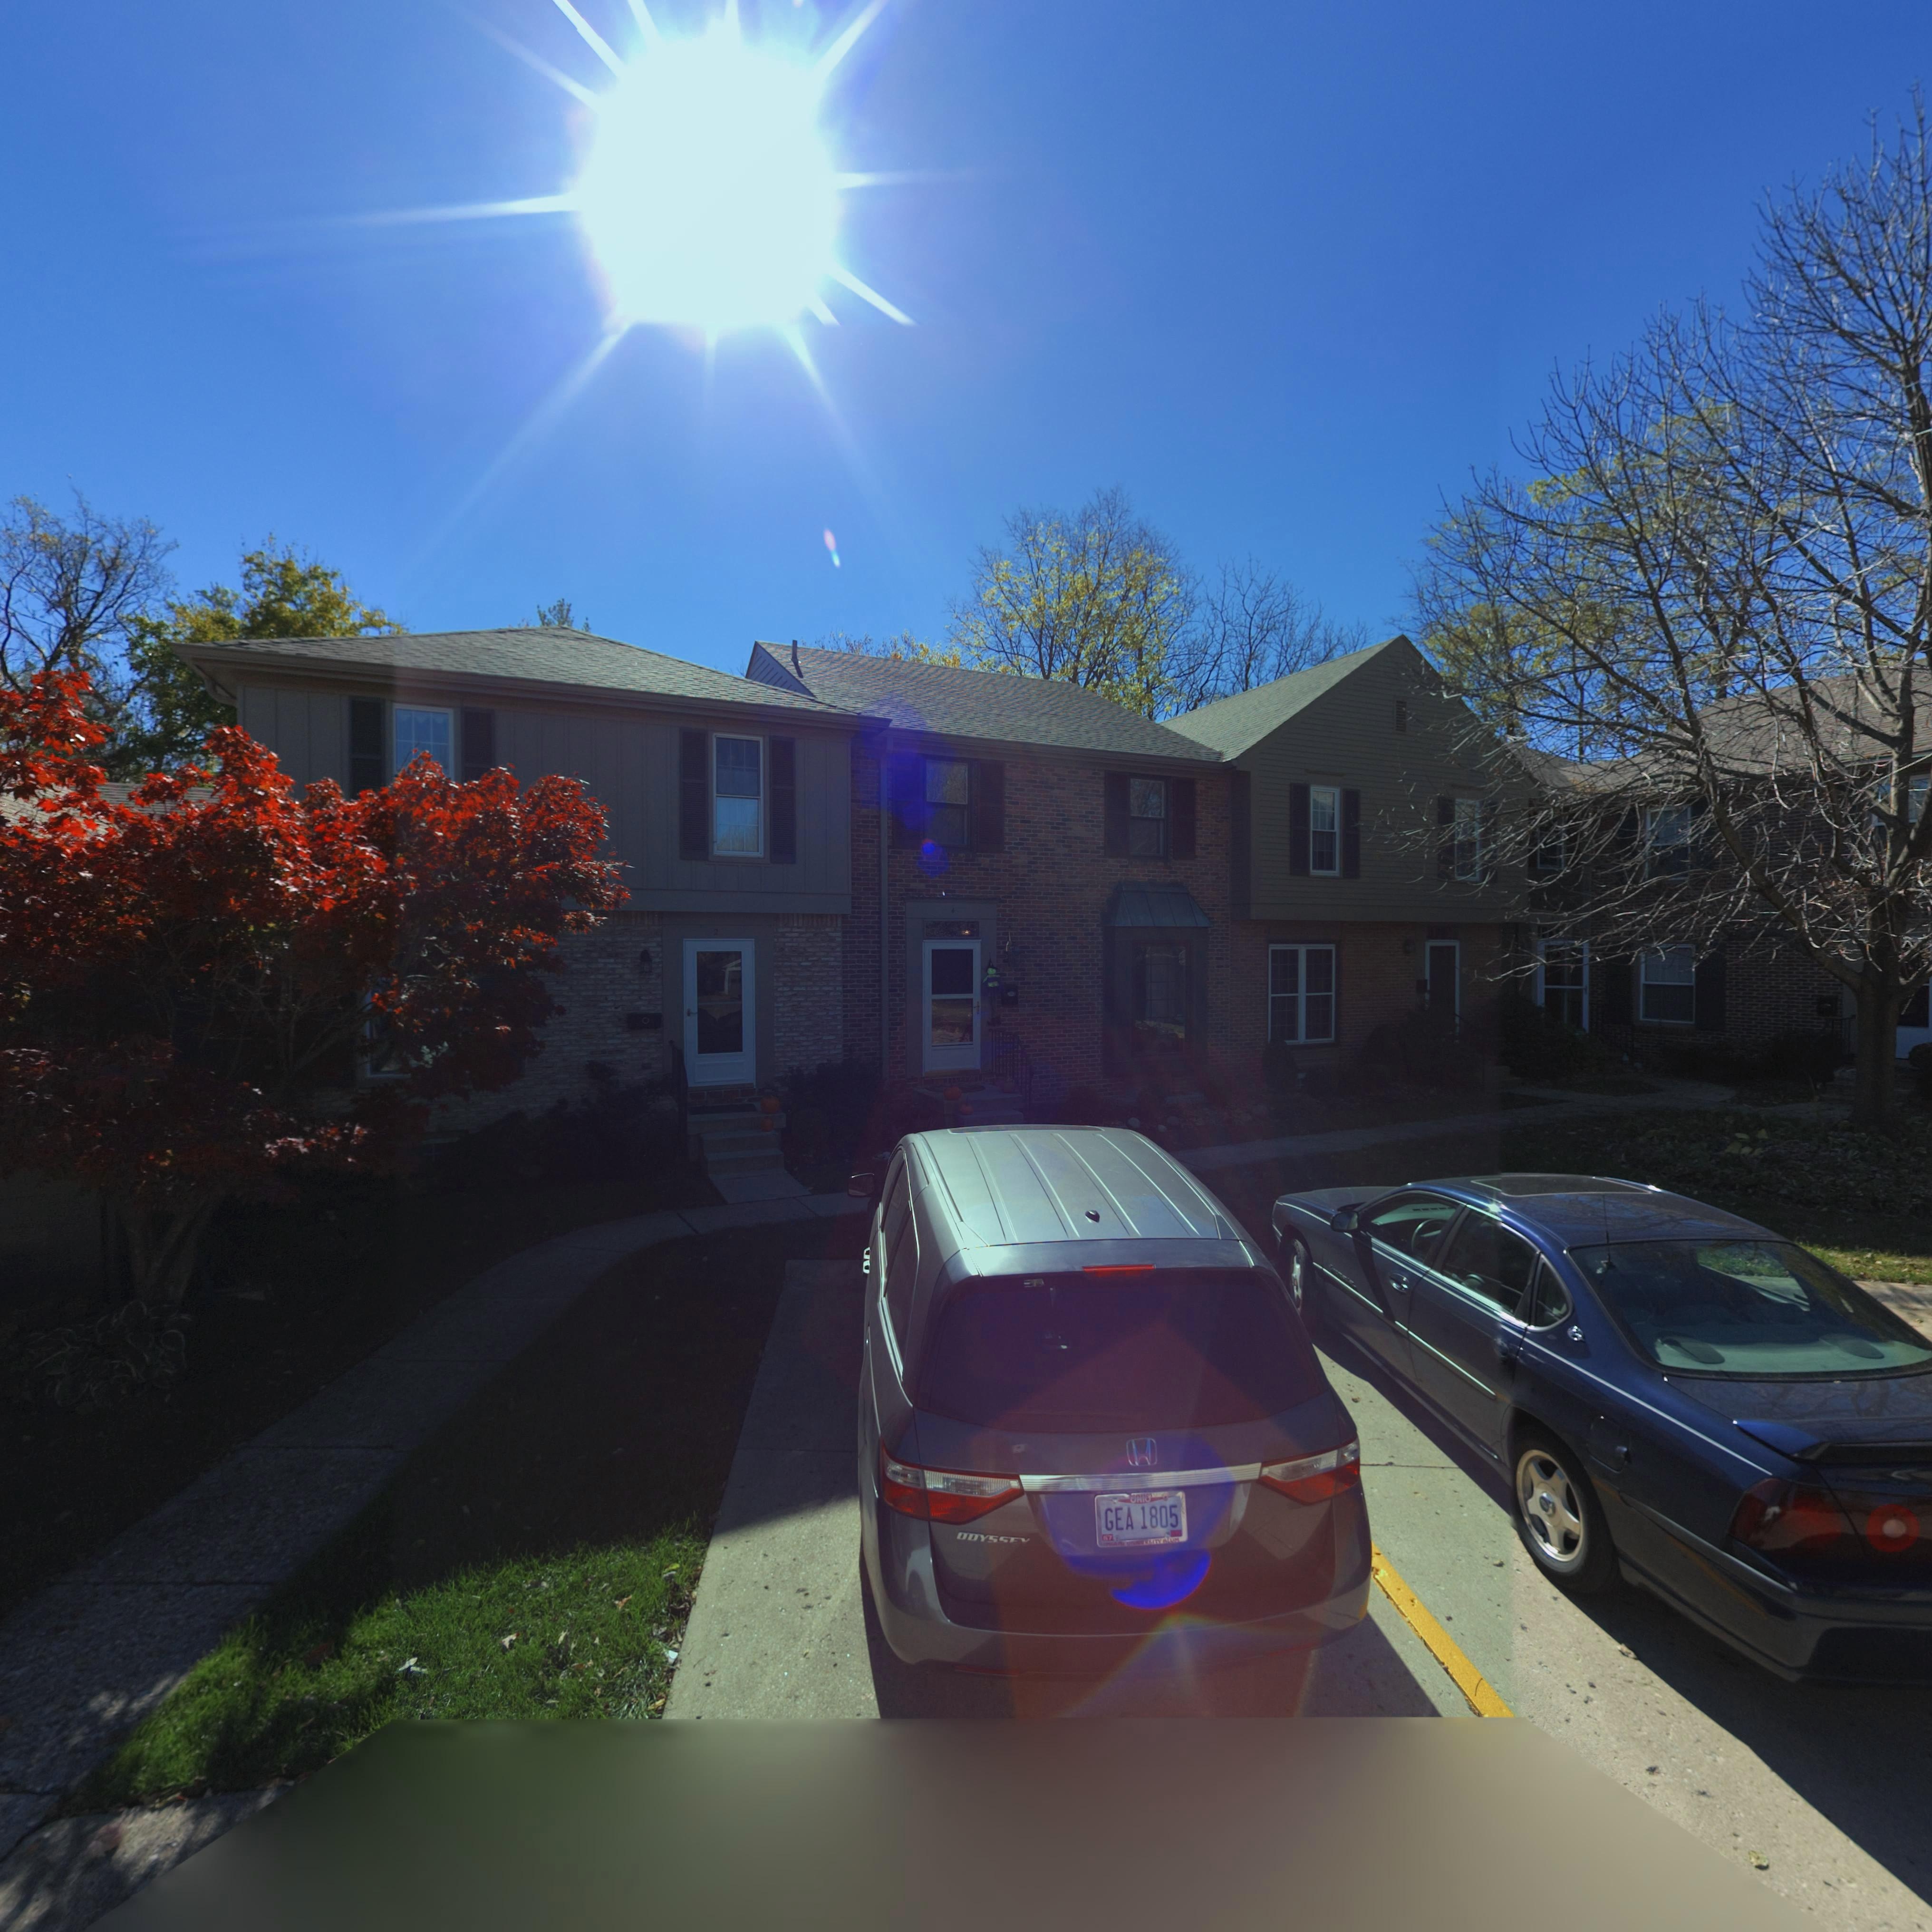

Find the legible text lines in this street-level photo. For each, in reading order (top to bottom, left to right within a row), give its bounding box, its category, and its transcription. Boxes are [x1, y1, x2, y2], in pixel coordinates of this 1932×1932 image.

[951, 907, 955, 914] StreetNumber: 4
[714, 928, 718, 936] StreetNumber: 2
[1103, 1503, 1179, 1532] None: GEA*1805
[955, 1530, 1033, 1548] None: ODYSSEY
[1102, 1534, 1113, 1542] None: 57
[1105, 1537, 1181, 1547] None: MIAMI UN***RSITY ALUM